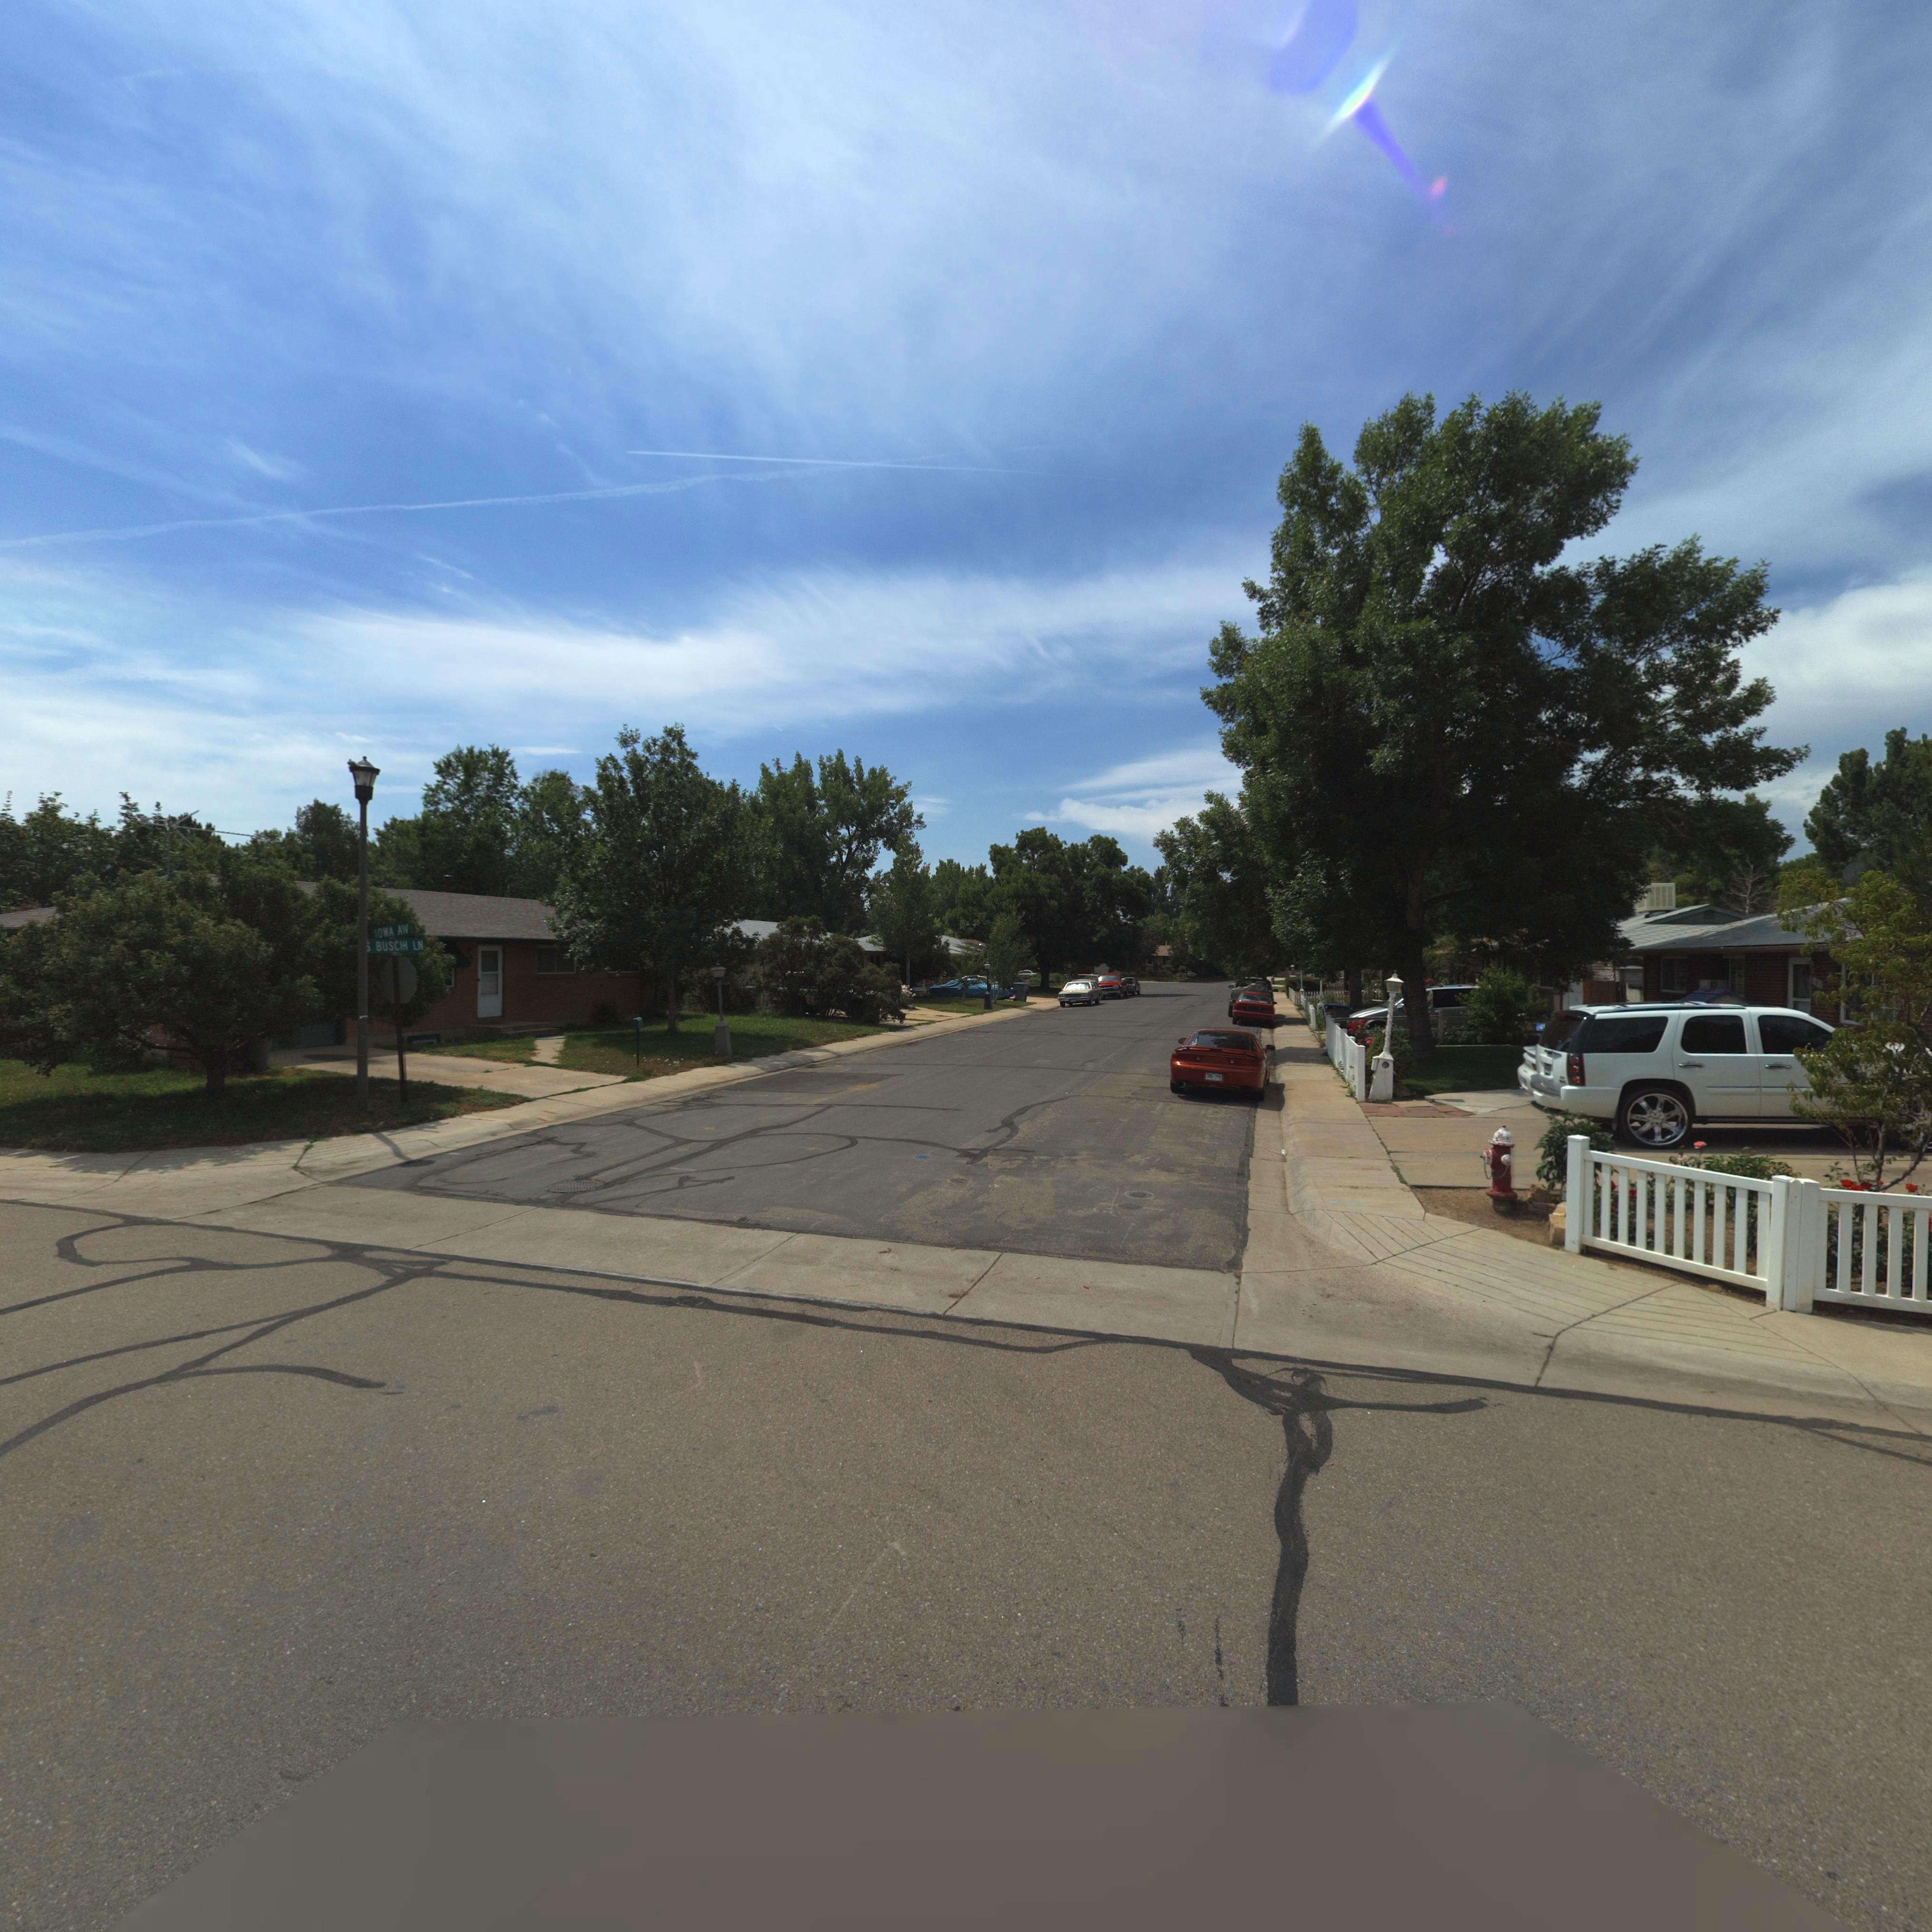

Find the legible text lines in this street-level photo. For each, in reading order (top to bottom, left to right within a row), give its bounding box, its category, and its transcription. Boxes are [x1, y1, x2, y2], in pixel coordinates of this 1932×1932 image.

[374, 923, 408, 938] StreetName: IOWA AW
[365, 940, 424, 952] StreetName: * BUSCH* LN